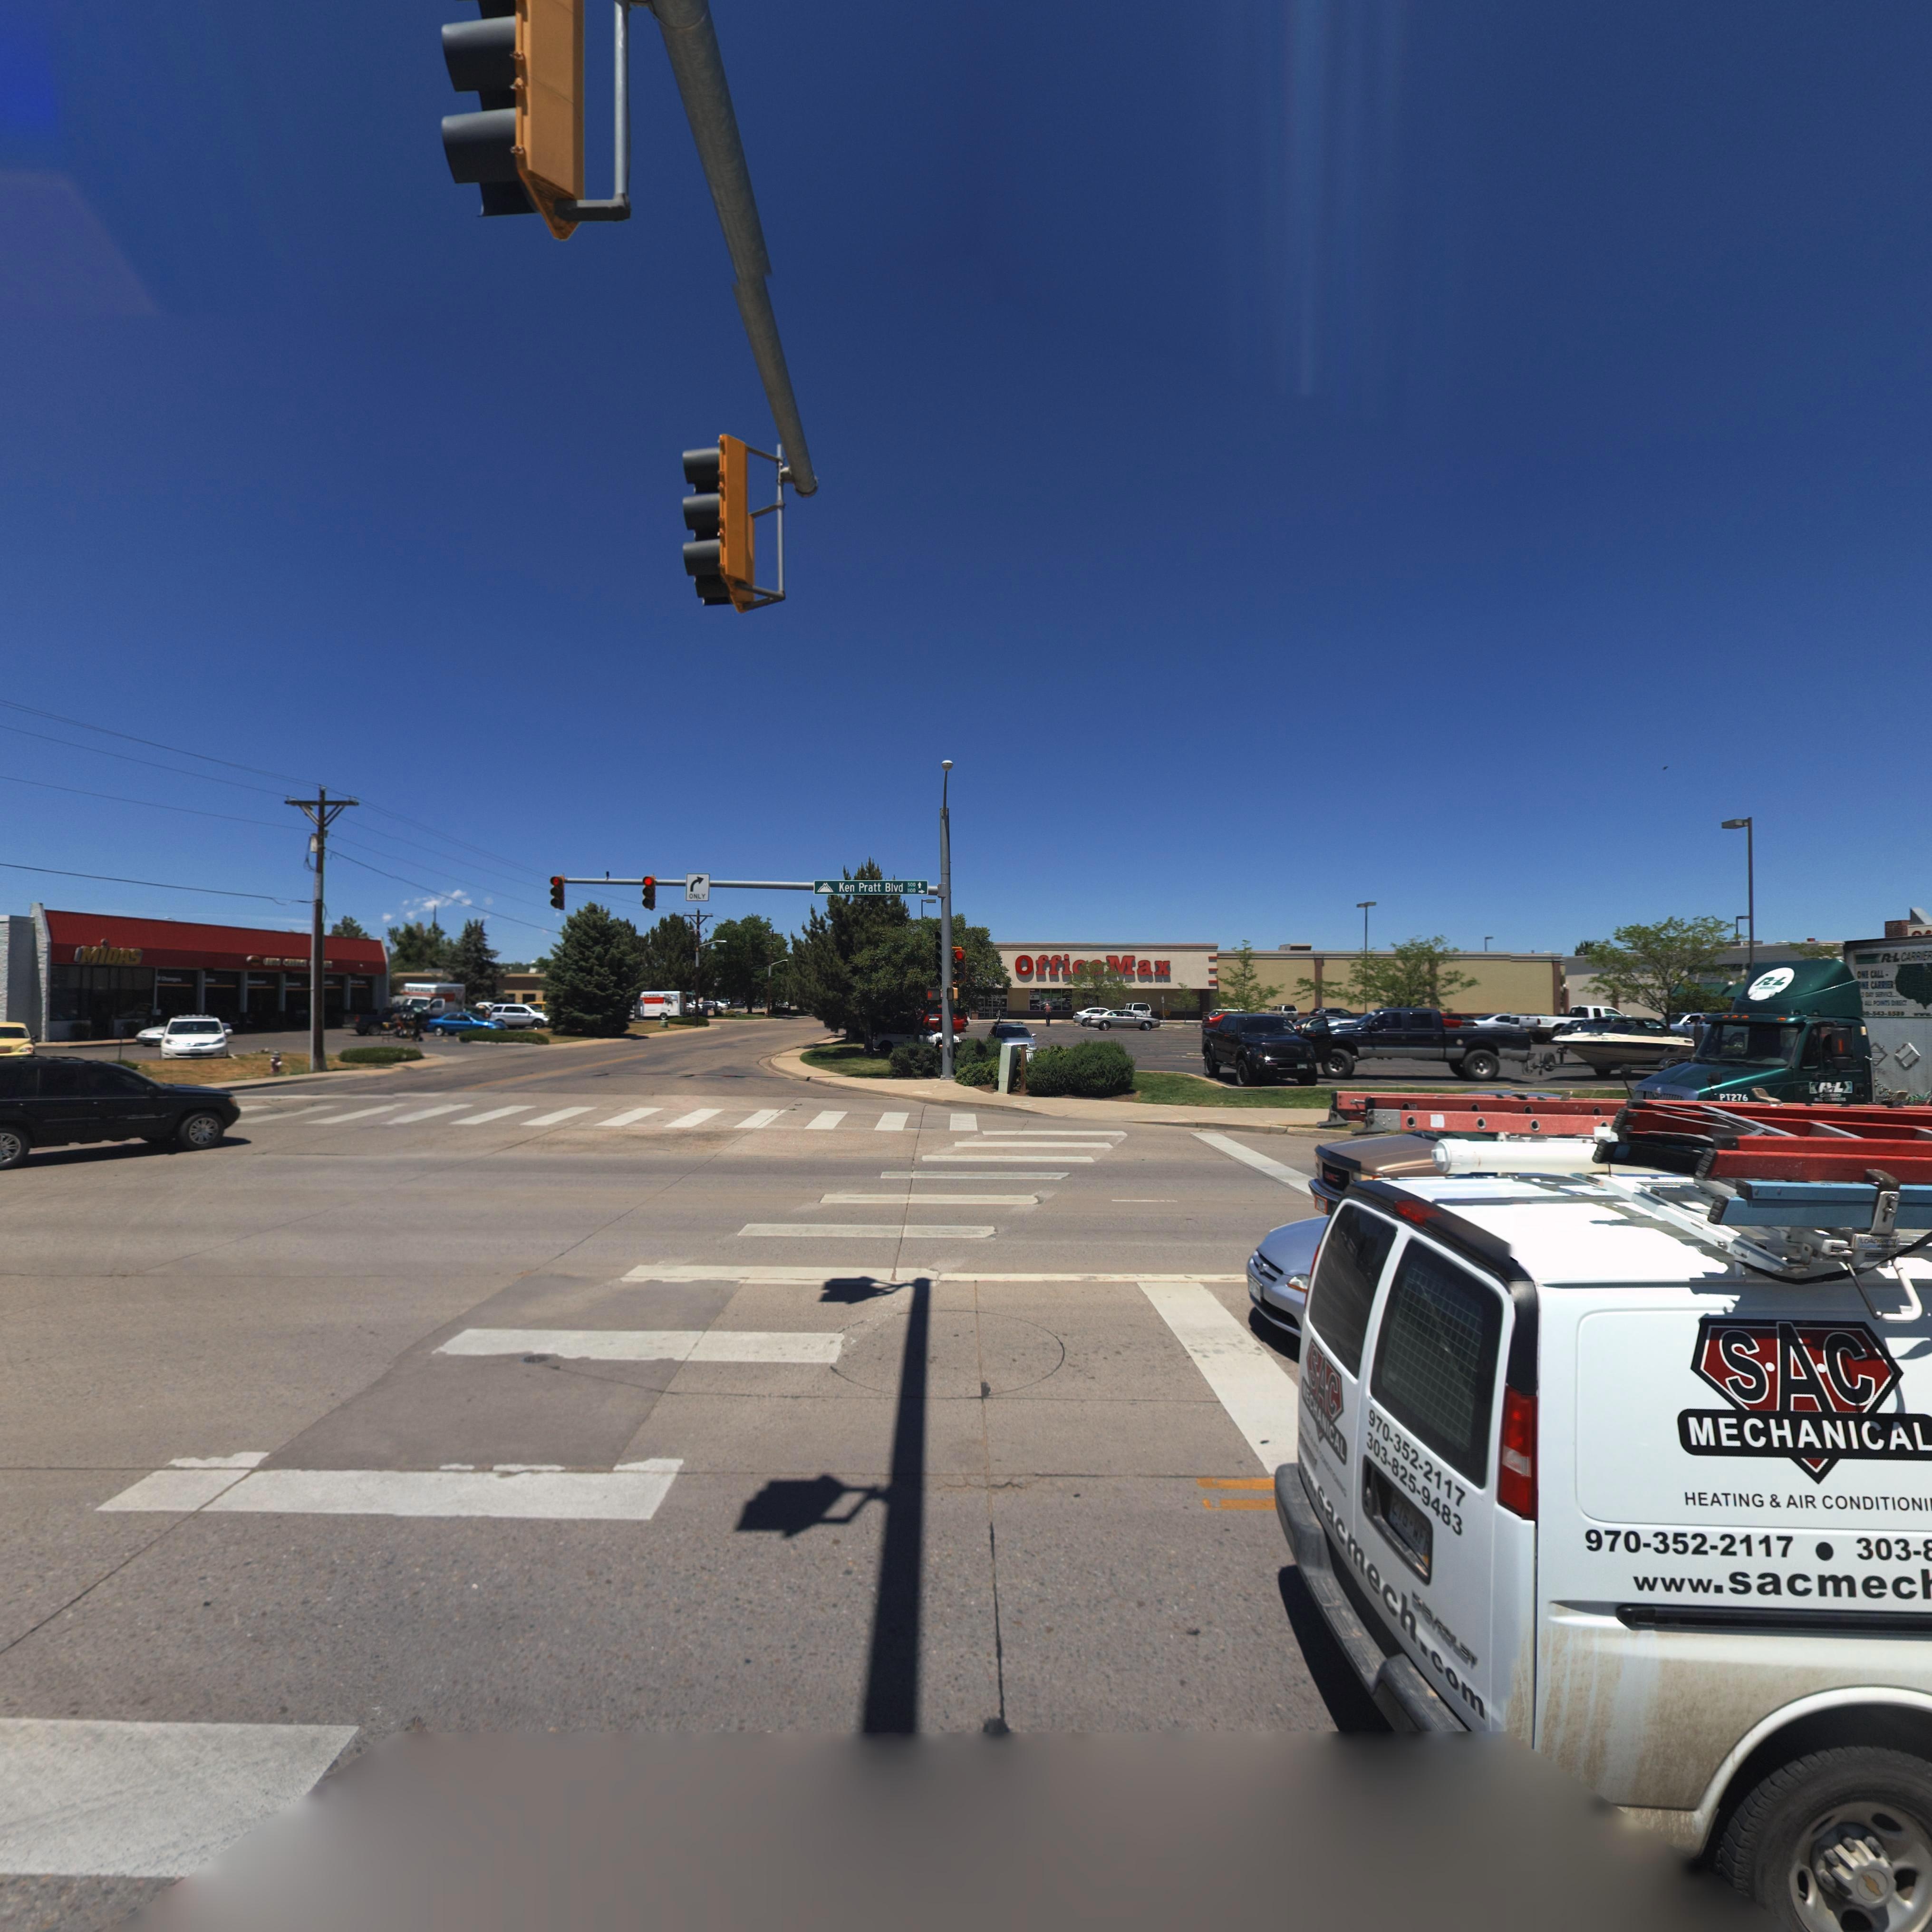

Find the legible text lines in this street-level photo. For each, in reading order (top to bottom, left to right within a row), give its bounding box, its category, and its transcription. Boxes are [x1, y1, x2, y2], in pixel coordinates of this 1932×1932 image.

[838, 882, 903, 892] StreetName: Ken Pratt Blvd
[908, 882, 916, 887] StreetNumber: 500
[907, 888, 926, 894] StreetNumberRange: 1100->
[78, 937, 143, 965] BusinessName: MiDAS
[1014, 953, 1171, 976] BusinessName: Offi**Max